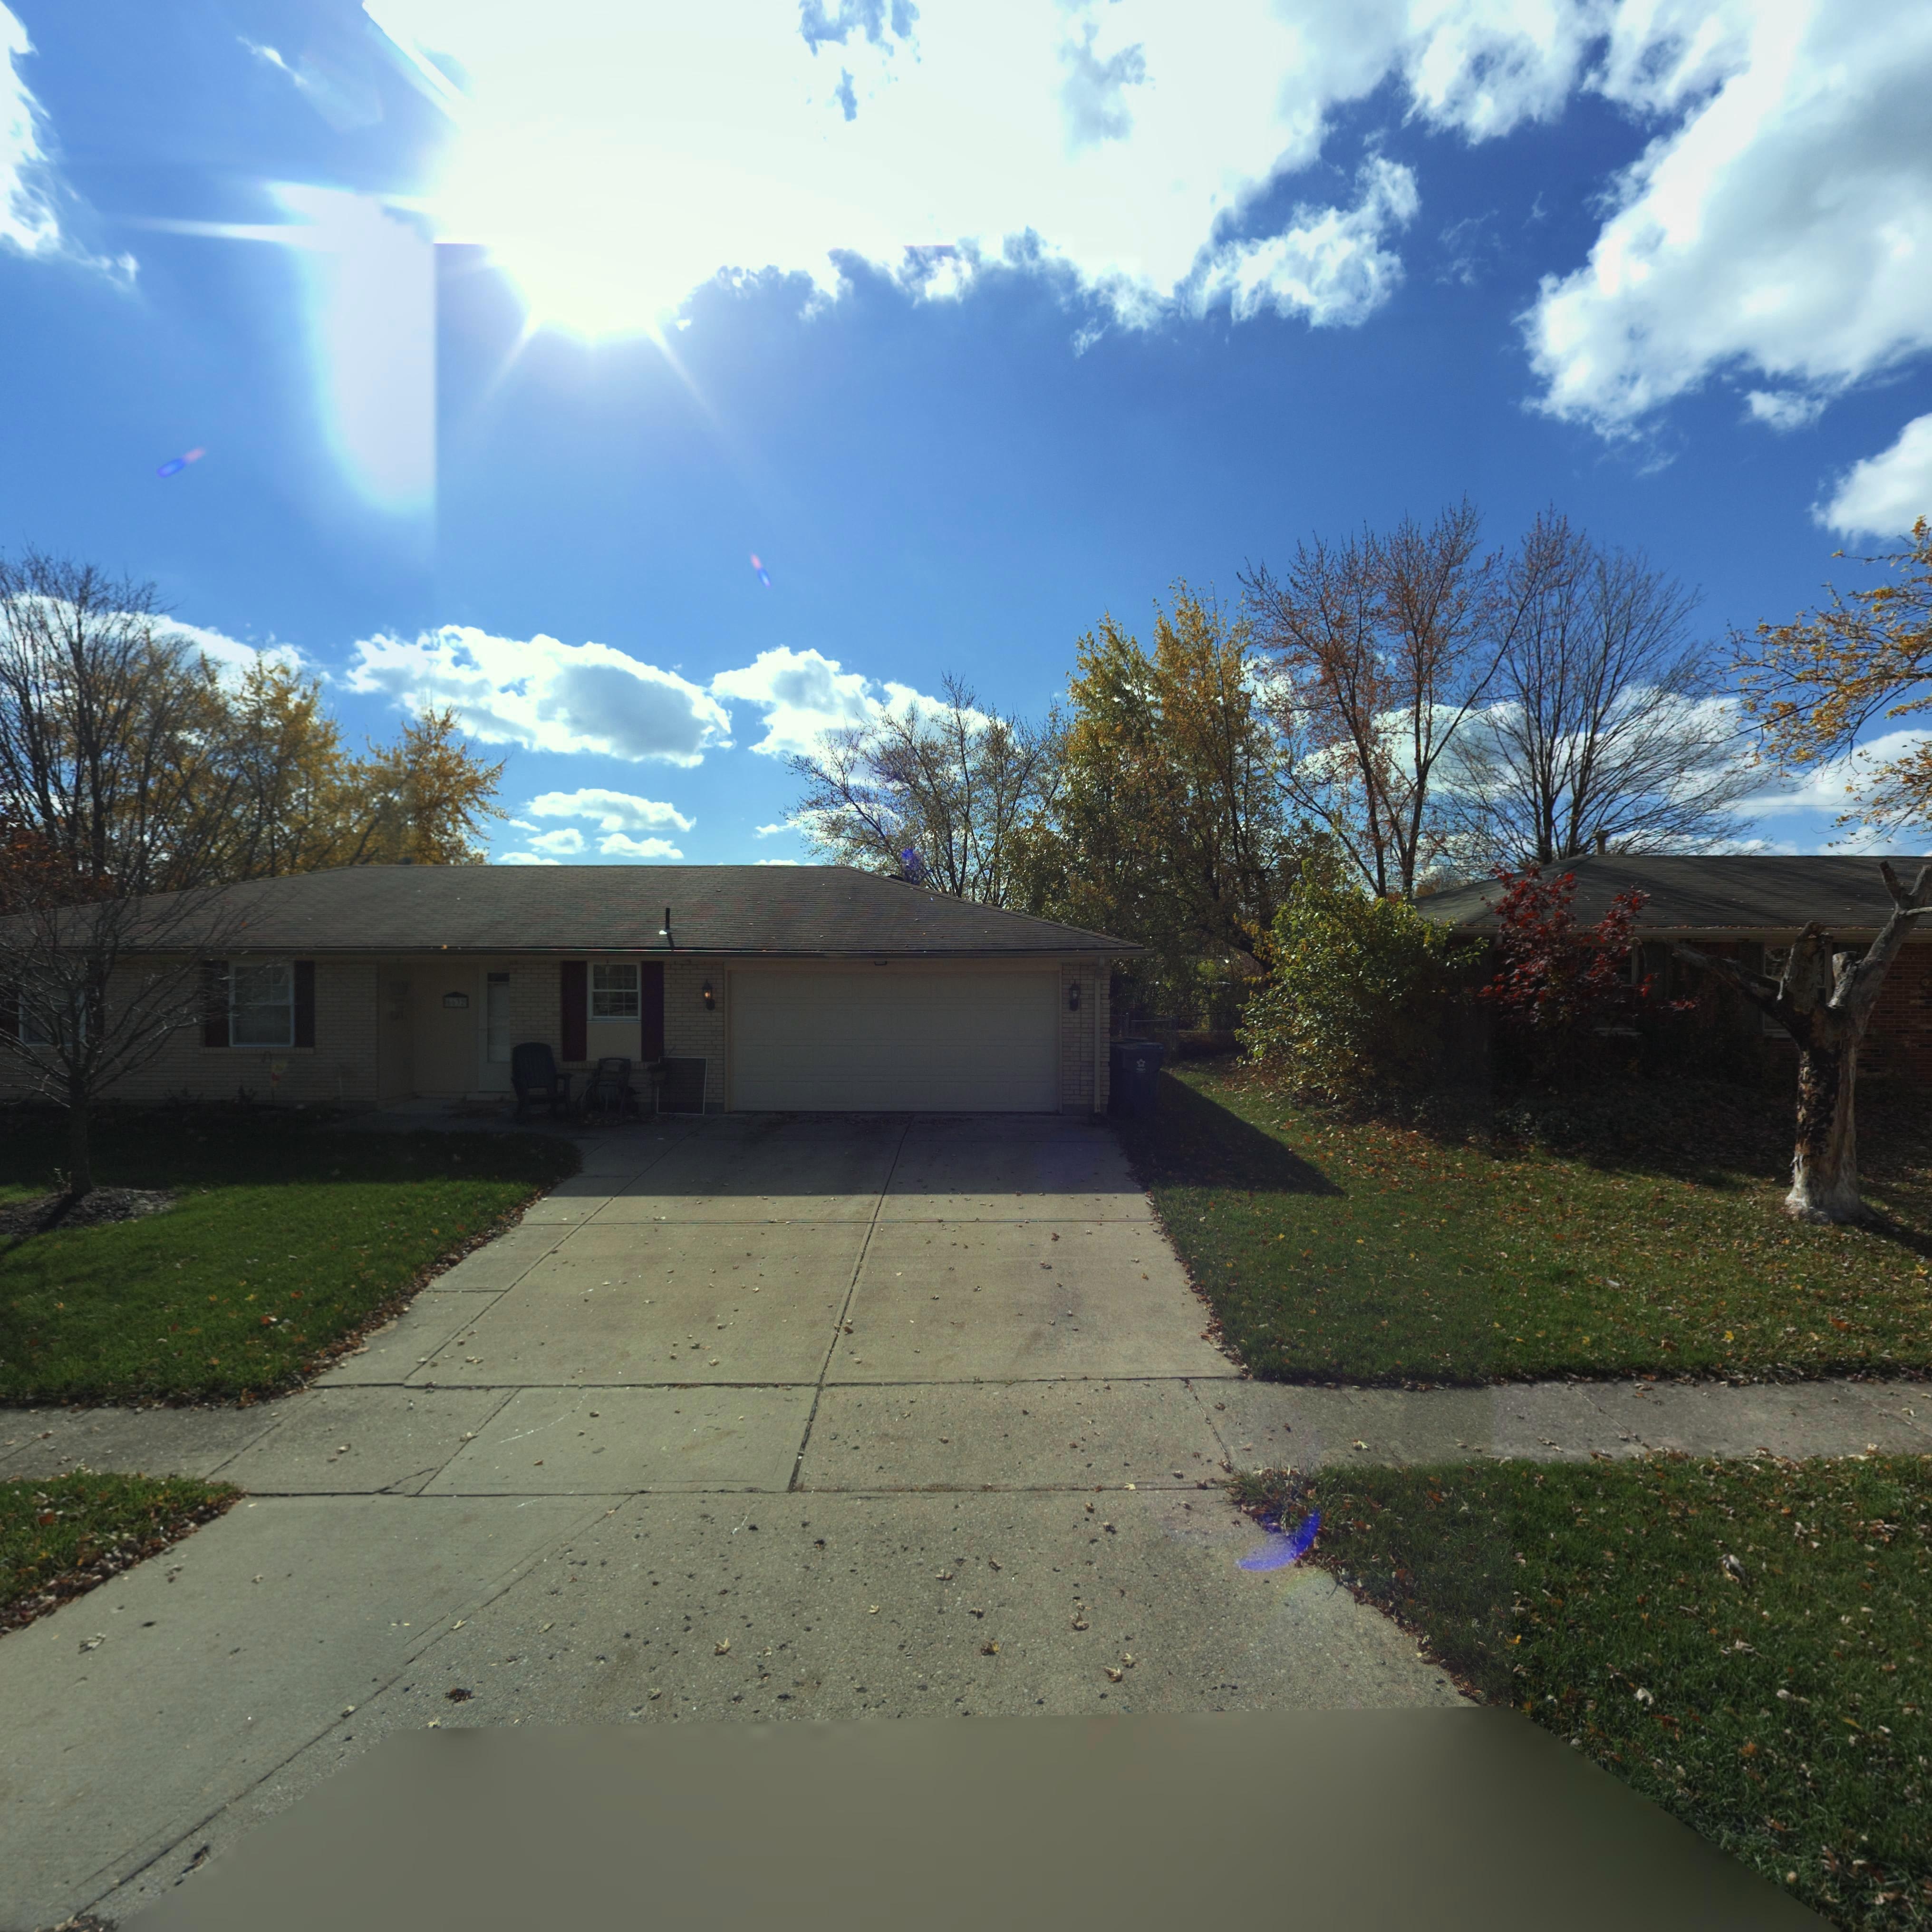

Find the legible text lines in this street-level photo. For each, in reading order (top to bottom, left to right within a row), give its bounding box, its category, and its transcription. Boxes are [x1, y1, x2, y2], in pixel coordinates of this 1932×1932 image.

[446, 997, 465, 1006] StreetNumber: 6632